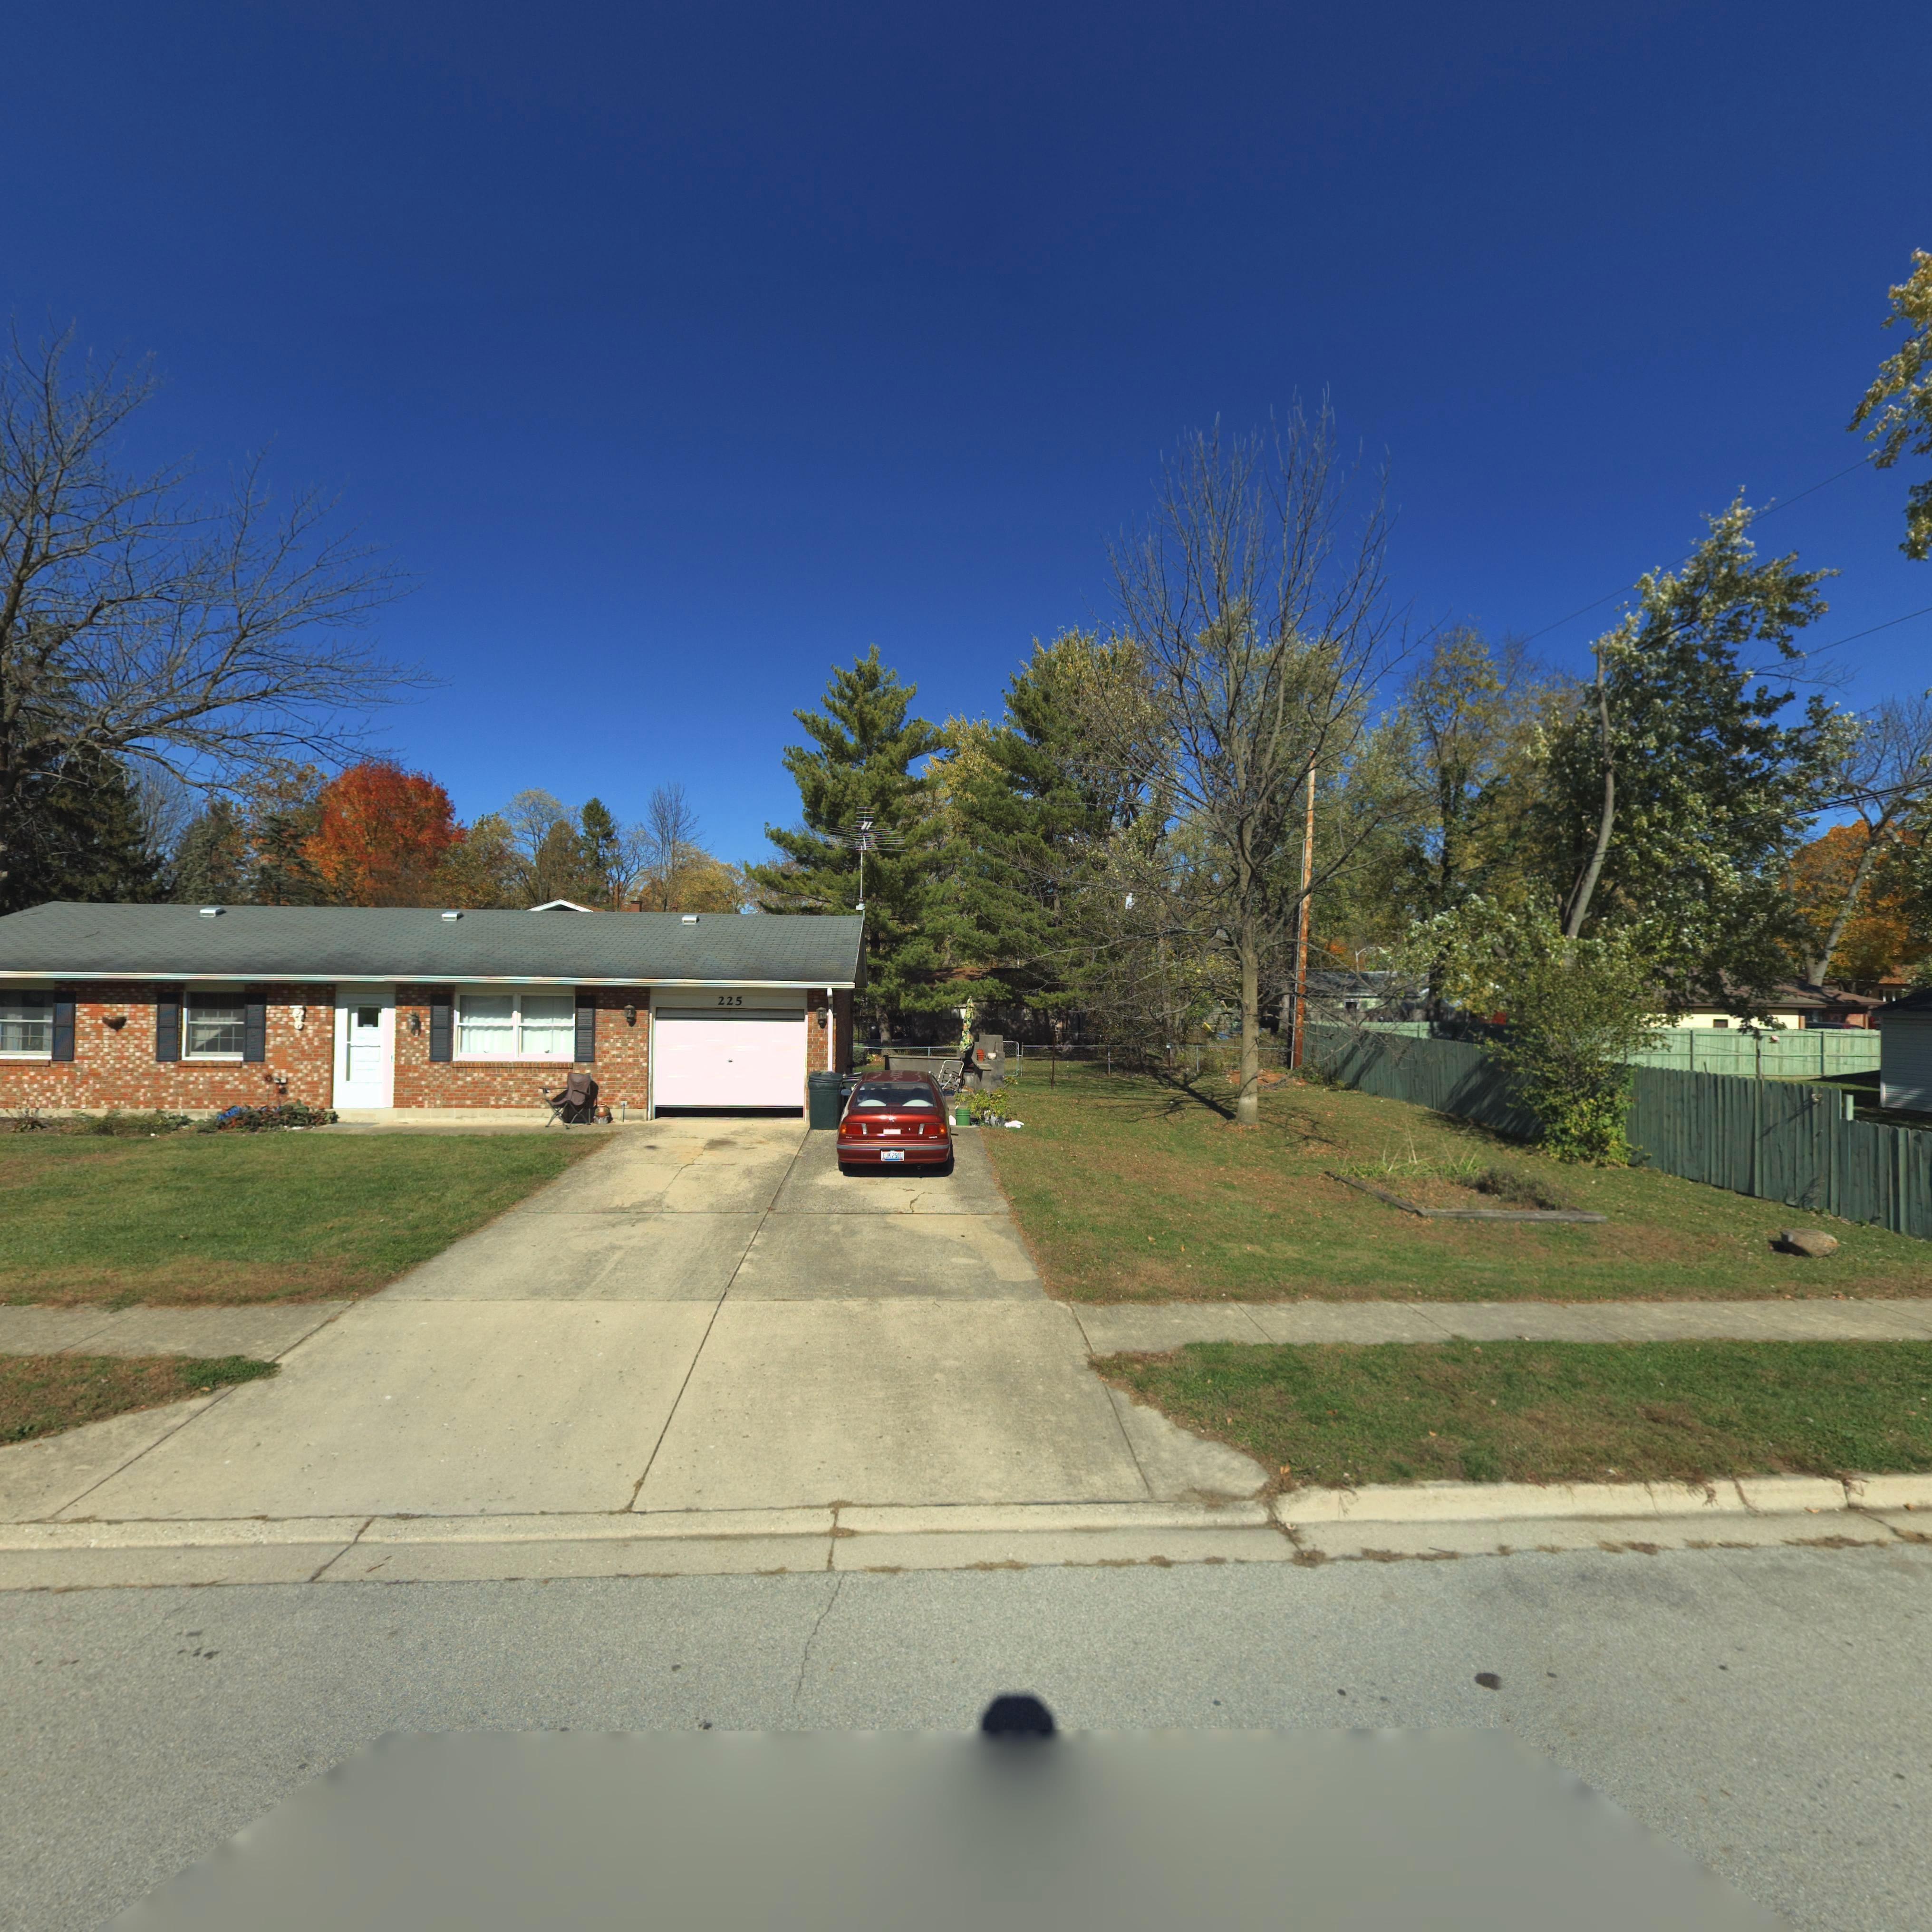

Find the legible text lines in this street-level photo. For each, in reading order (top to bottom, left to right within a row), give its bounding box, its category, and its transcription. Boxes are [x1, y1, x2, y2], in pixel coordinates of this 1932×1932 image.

[717, 996, 742, 1005] StreetNumber: 225